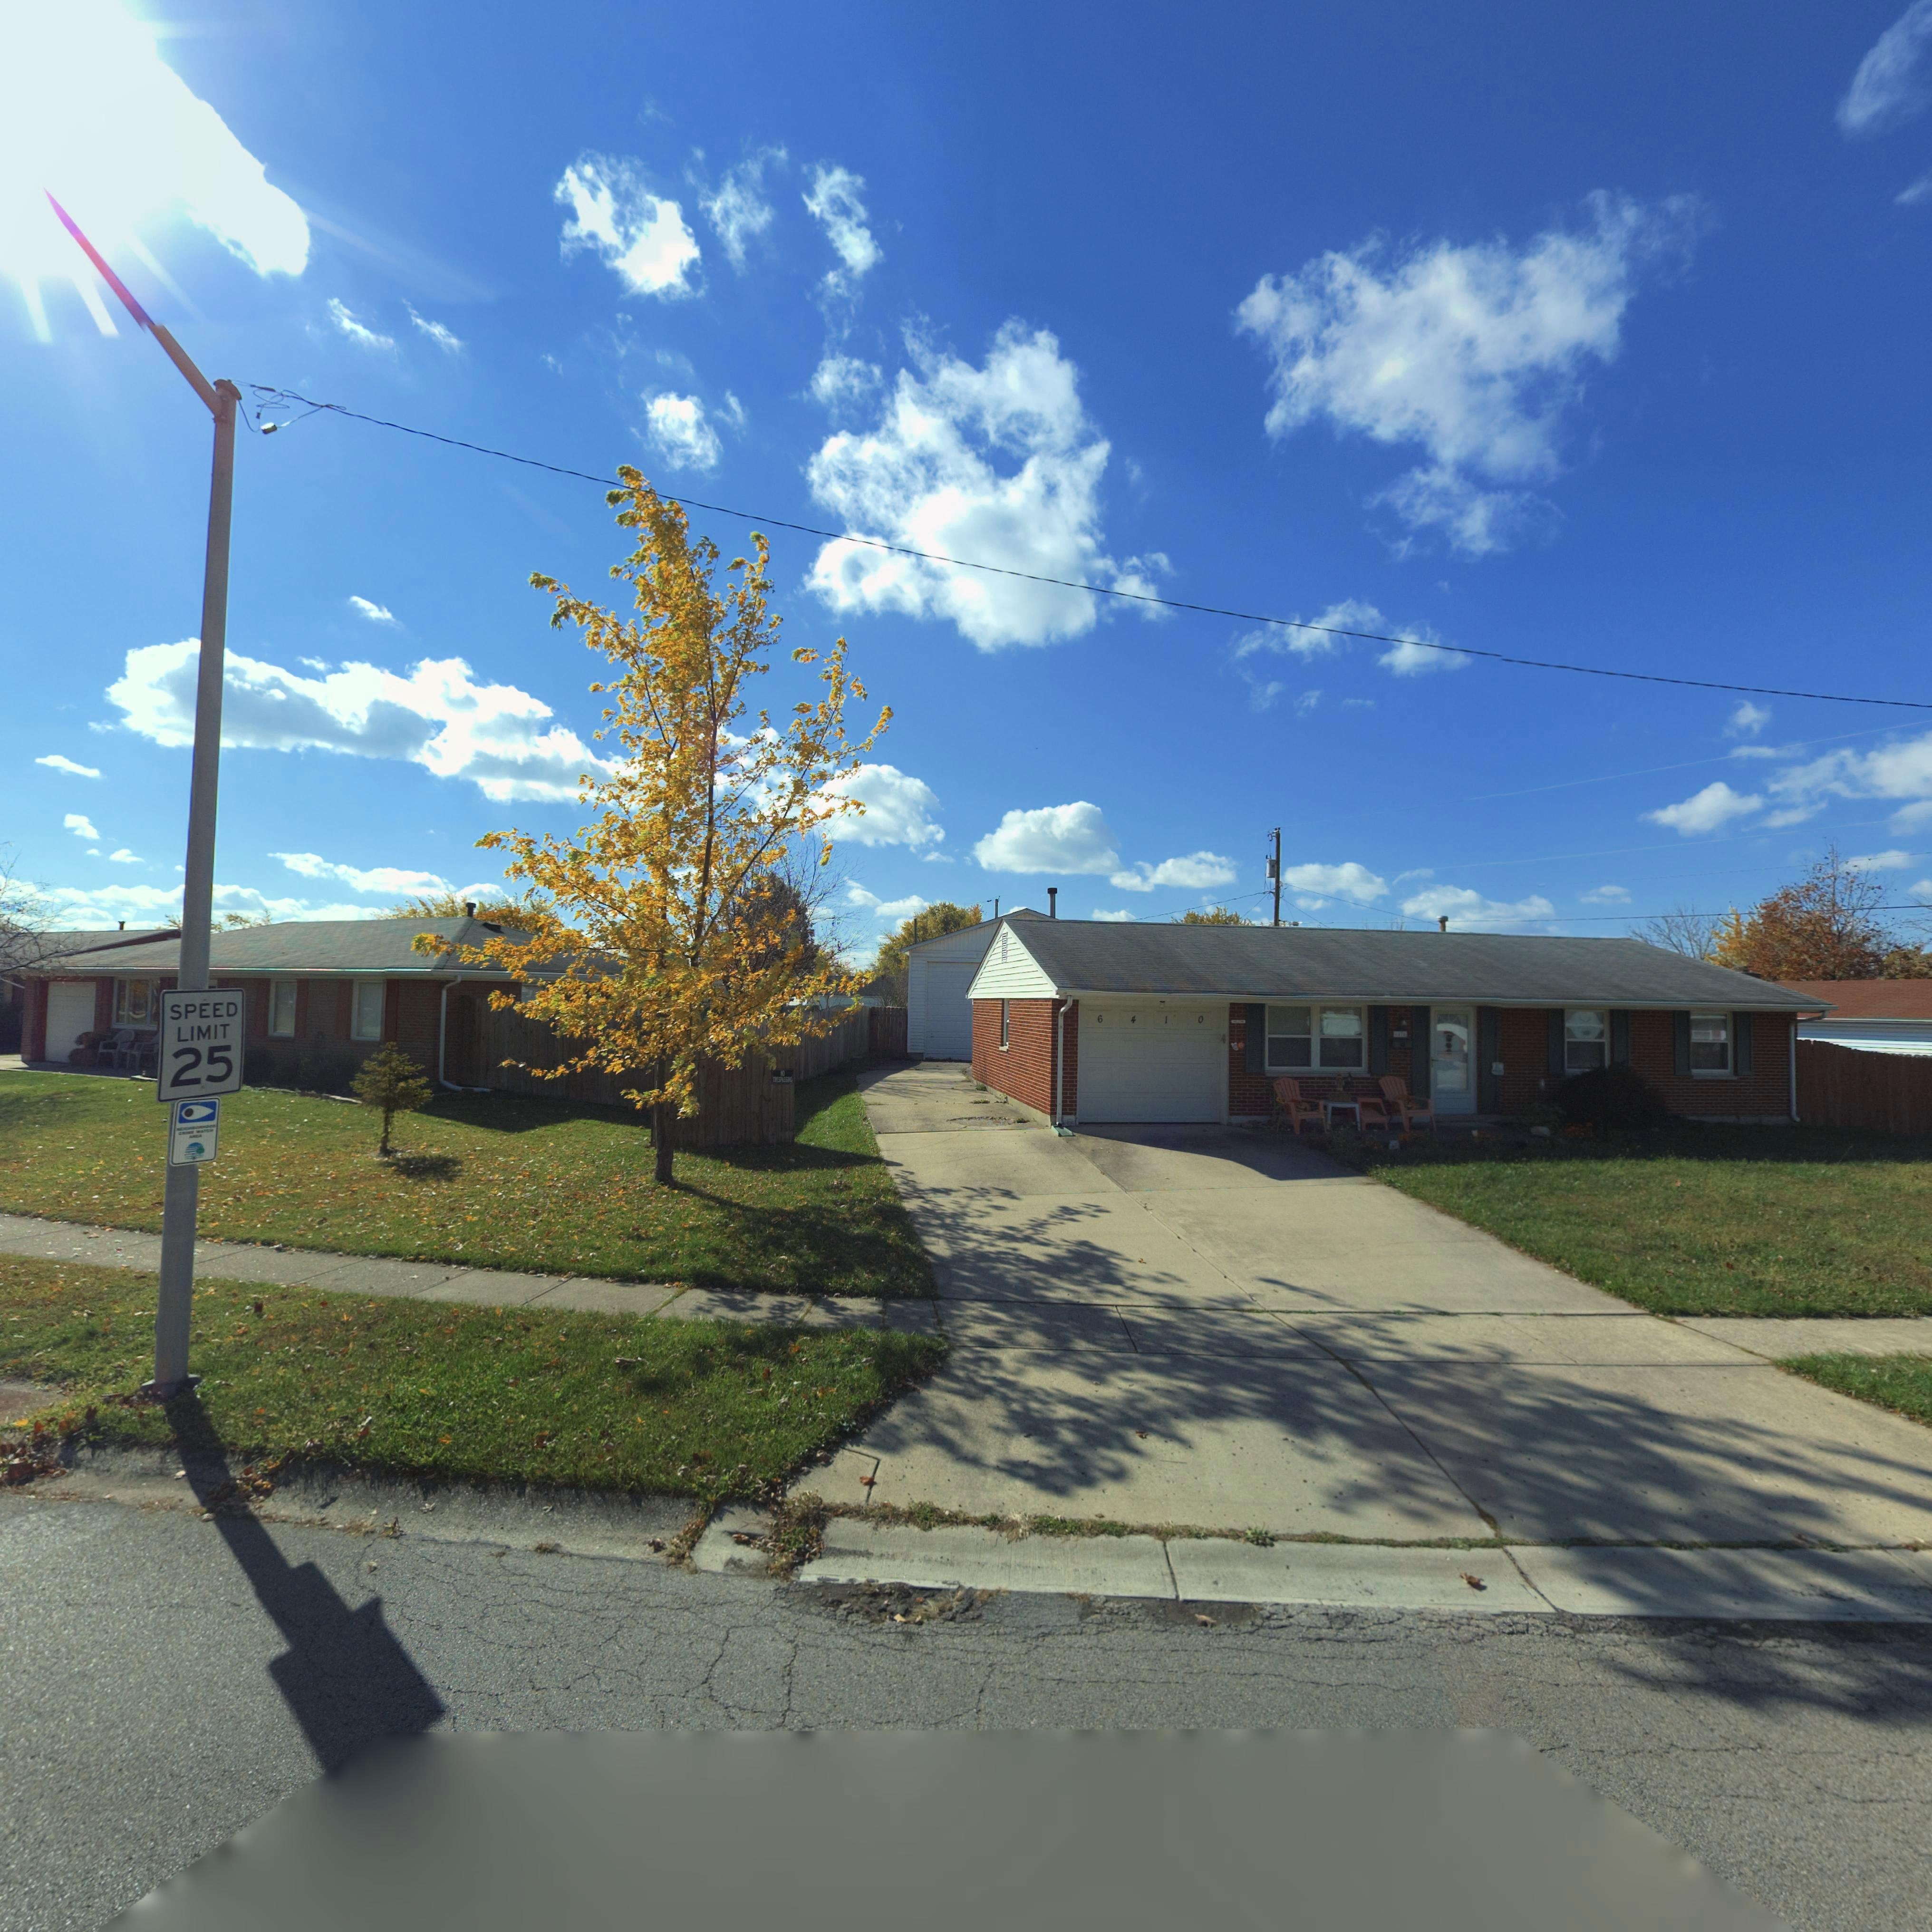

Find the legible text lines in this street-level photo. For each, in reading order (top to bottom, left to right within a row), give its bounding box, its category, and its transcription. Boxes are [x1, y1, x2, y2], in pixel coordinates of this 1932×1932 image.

[1097, 1014, 1204, 1024] StreetNumber: 6410